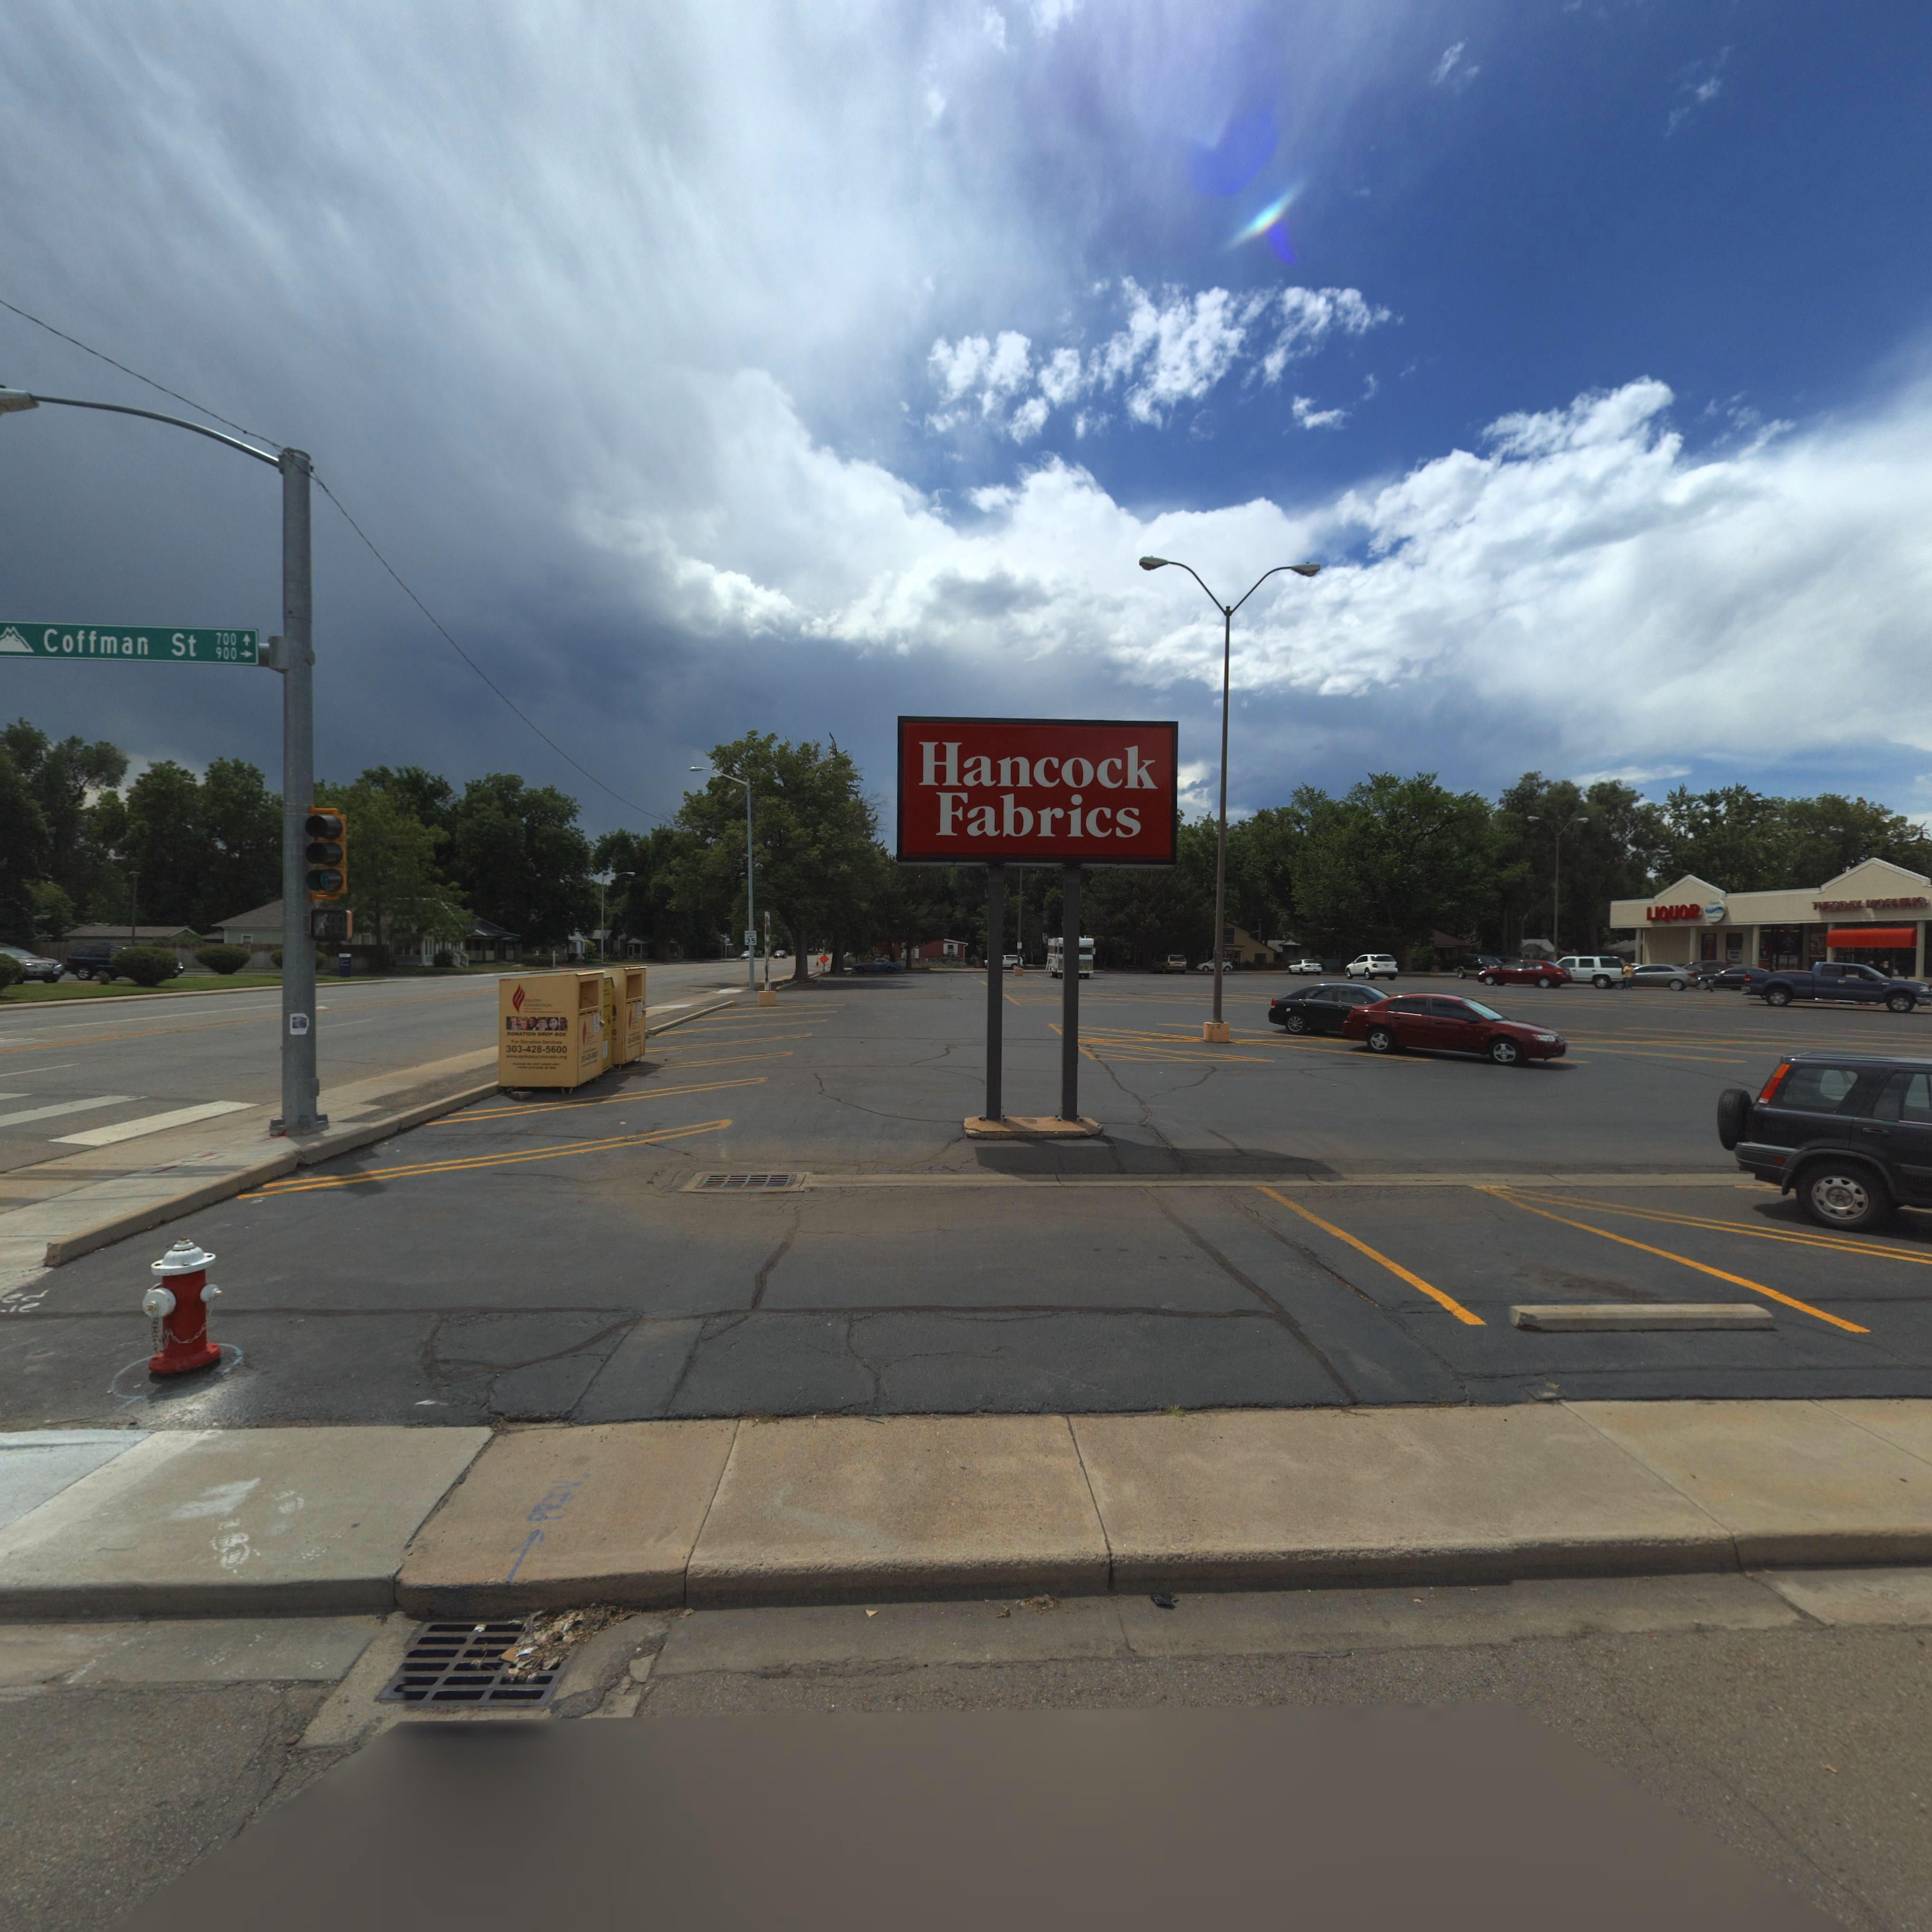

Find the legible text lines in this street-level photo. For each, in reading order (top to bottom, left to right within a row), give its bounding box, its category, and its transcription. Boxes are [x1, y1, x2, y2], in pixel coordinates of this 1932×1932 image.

[41, 628, 198, 657] StreetName: Coffman St
[215, 631, 237, 646] StreetNumberRange: 700
[214, 646, 253, 660] StreetNumberRange: 900->
[917, 741, 1159, 790] BusinessName: Hancock
[933, 790, 1142, 839] BusinessName: Fabrics
[1810, 896, 1927, 911] BusinessName: TU****Y *O*****